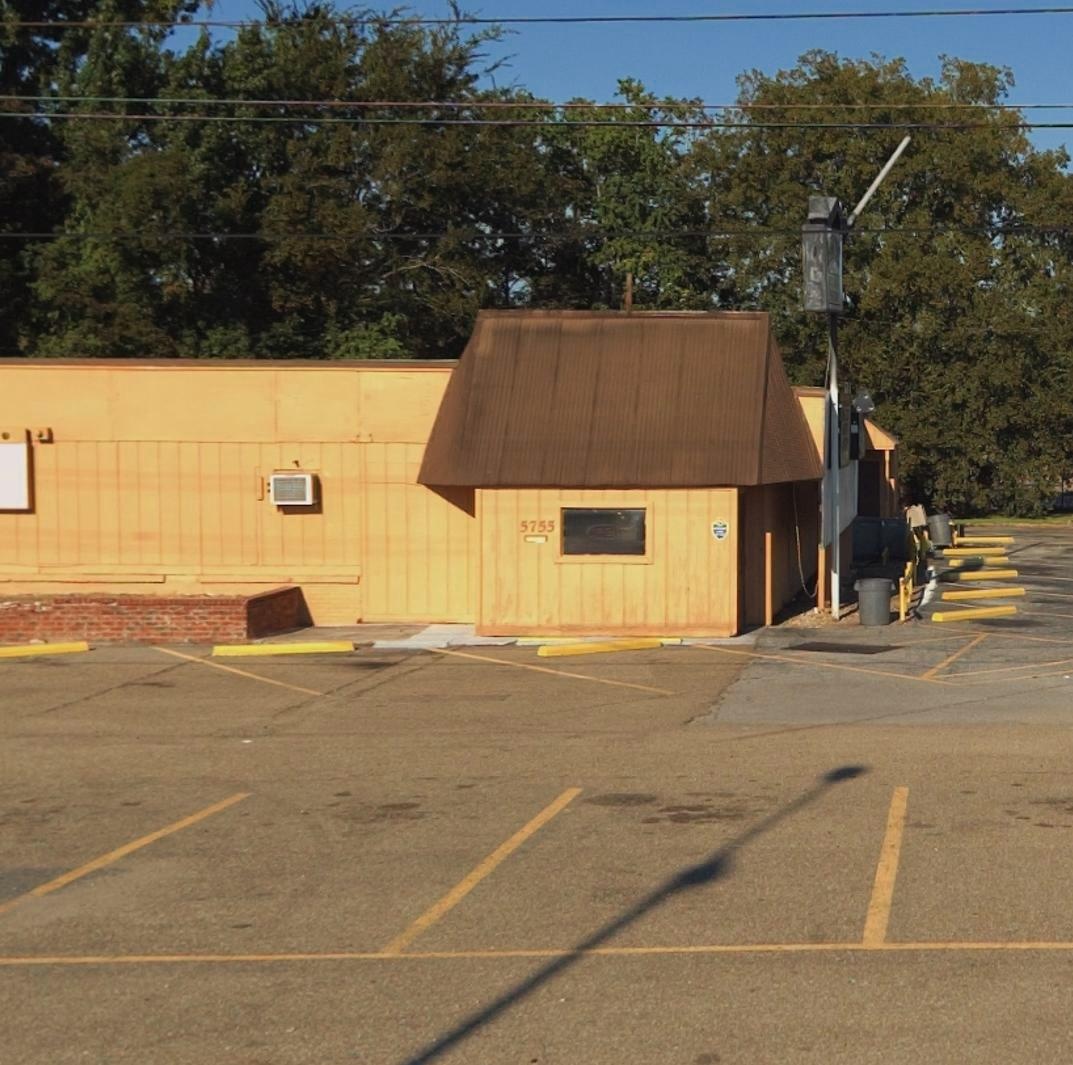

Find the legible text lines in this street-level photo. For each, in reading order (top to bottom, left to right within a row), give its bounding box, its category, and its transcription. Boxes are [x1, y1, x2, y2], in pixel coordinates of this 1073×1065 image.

[519, 519, 556, 533] StreetNumber: 5755